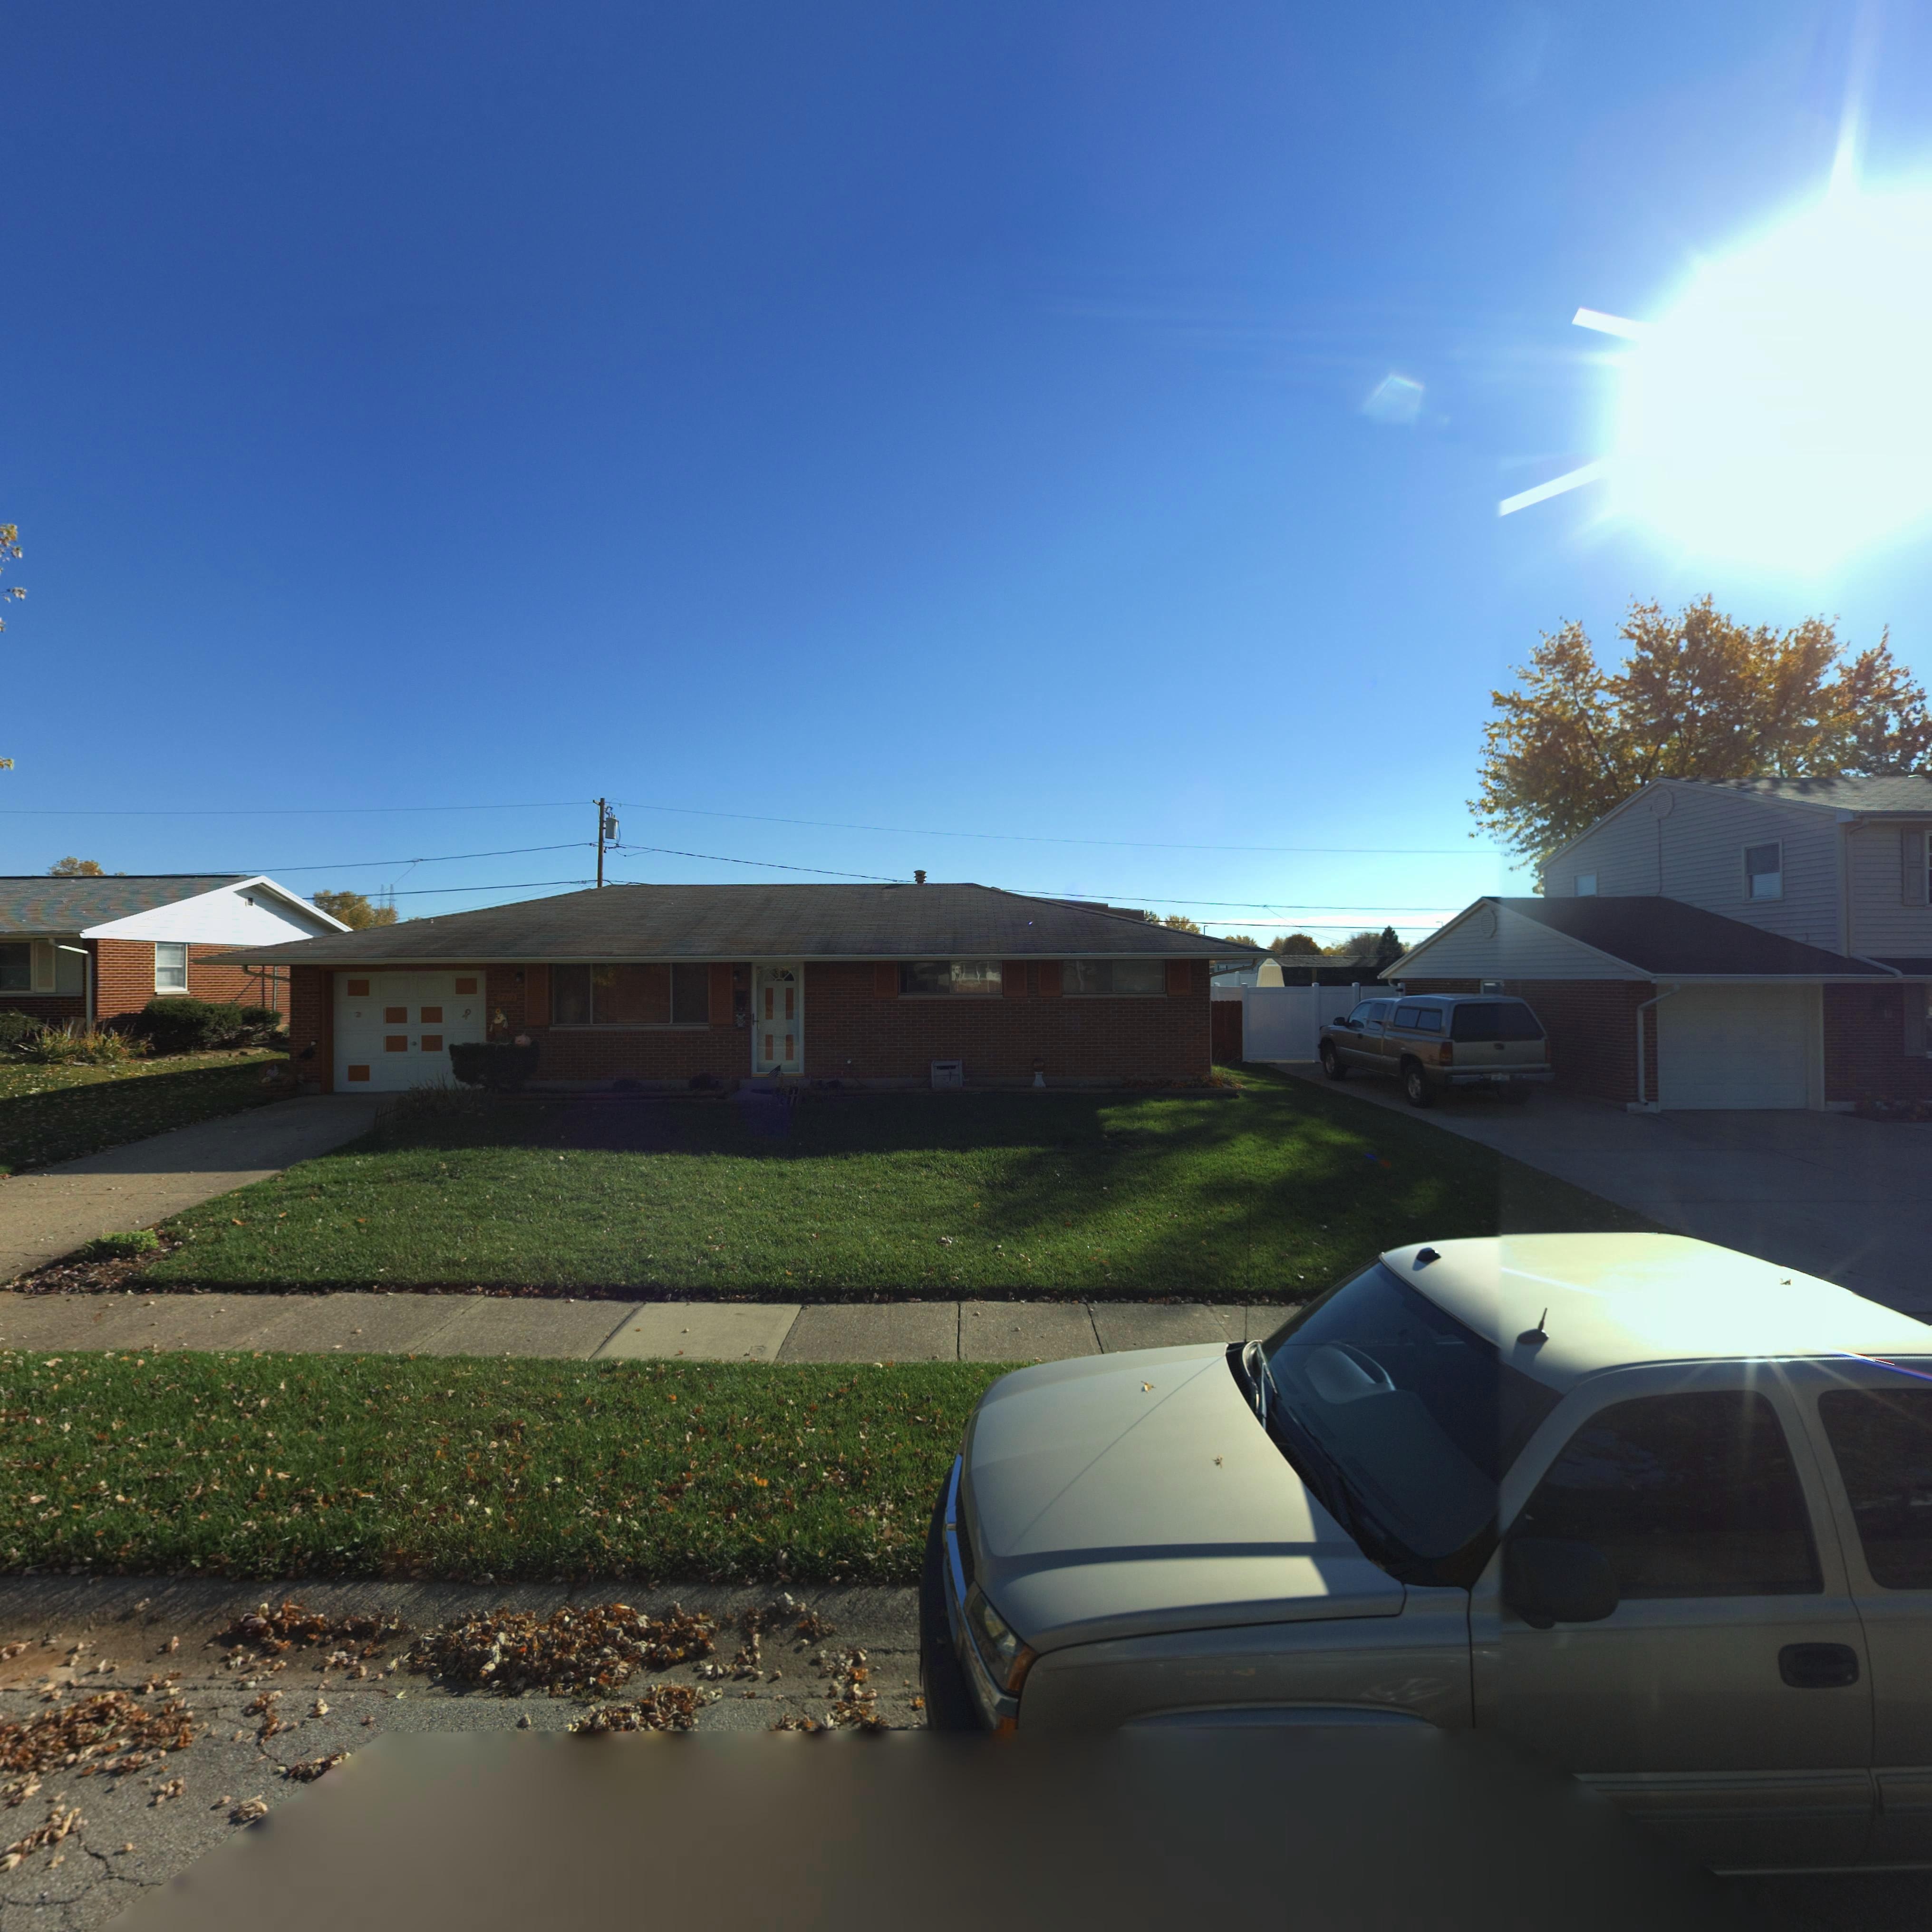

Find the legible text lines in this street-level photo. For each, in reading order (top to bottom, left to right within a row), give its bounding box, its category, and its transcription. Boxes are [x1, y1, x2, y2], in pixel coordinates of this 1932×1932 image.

[499, 994, 515, 1001] StreetNumber: 7713